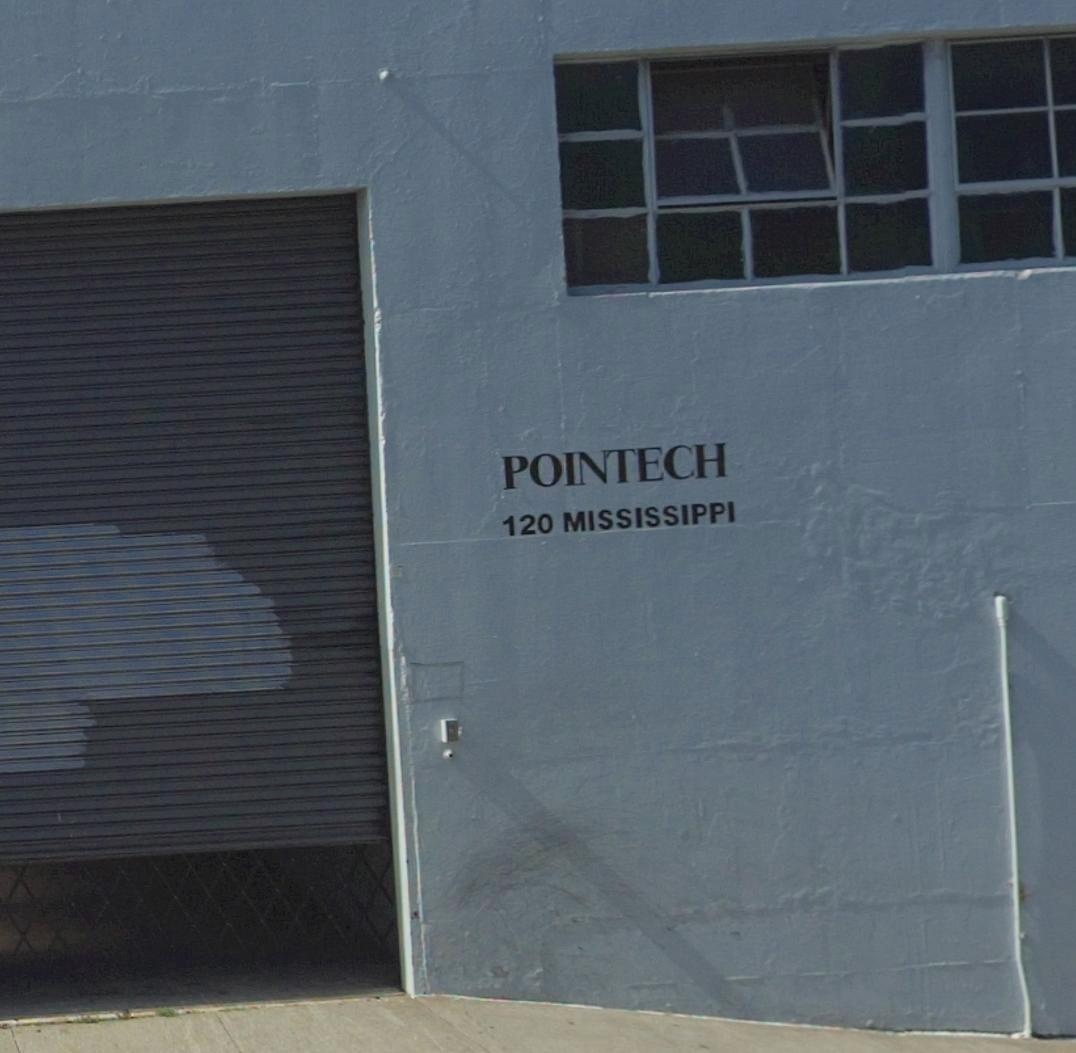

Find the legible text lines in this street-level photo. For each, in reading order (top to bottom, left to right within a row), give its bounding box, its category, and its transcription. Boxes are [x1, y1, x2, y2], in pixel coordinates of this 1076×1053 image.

[499, 441, 729, 491] None: POINTECH
[498, 509, 556, 539] StreetNumber: 120
[562, 500, 736, 534] StreetName: MISSISSIPPI